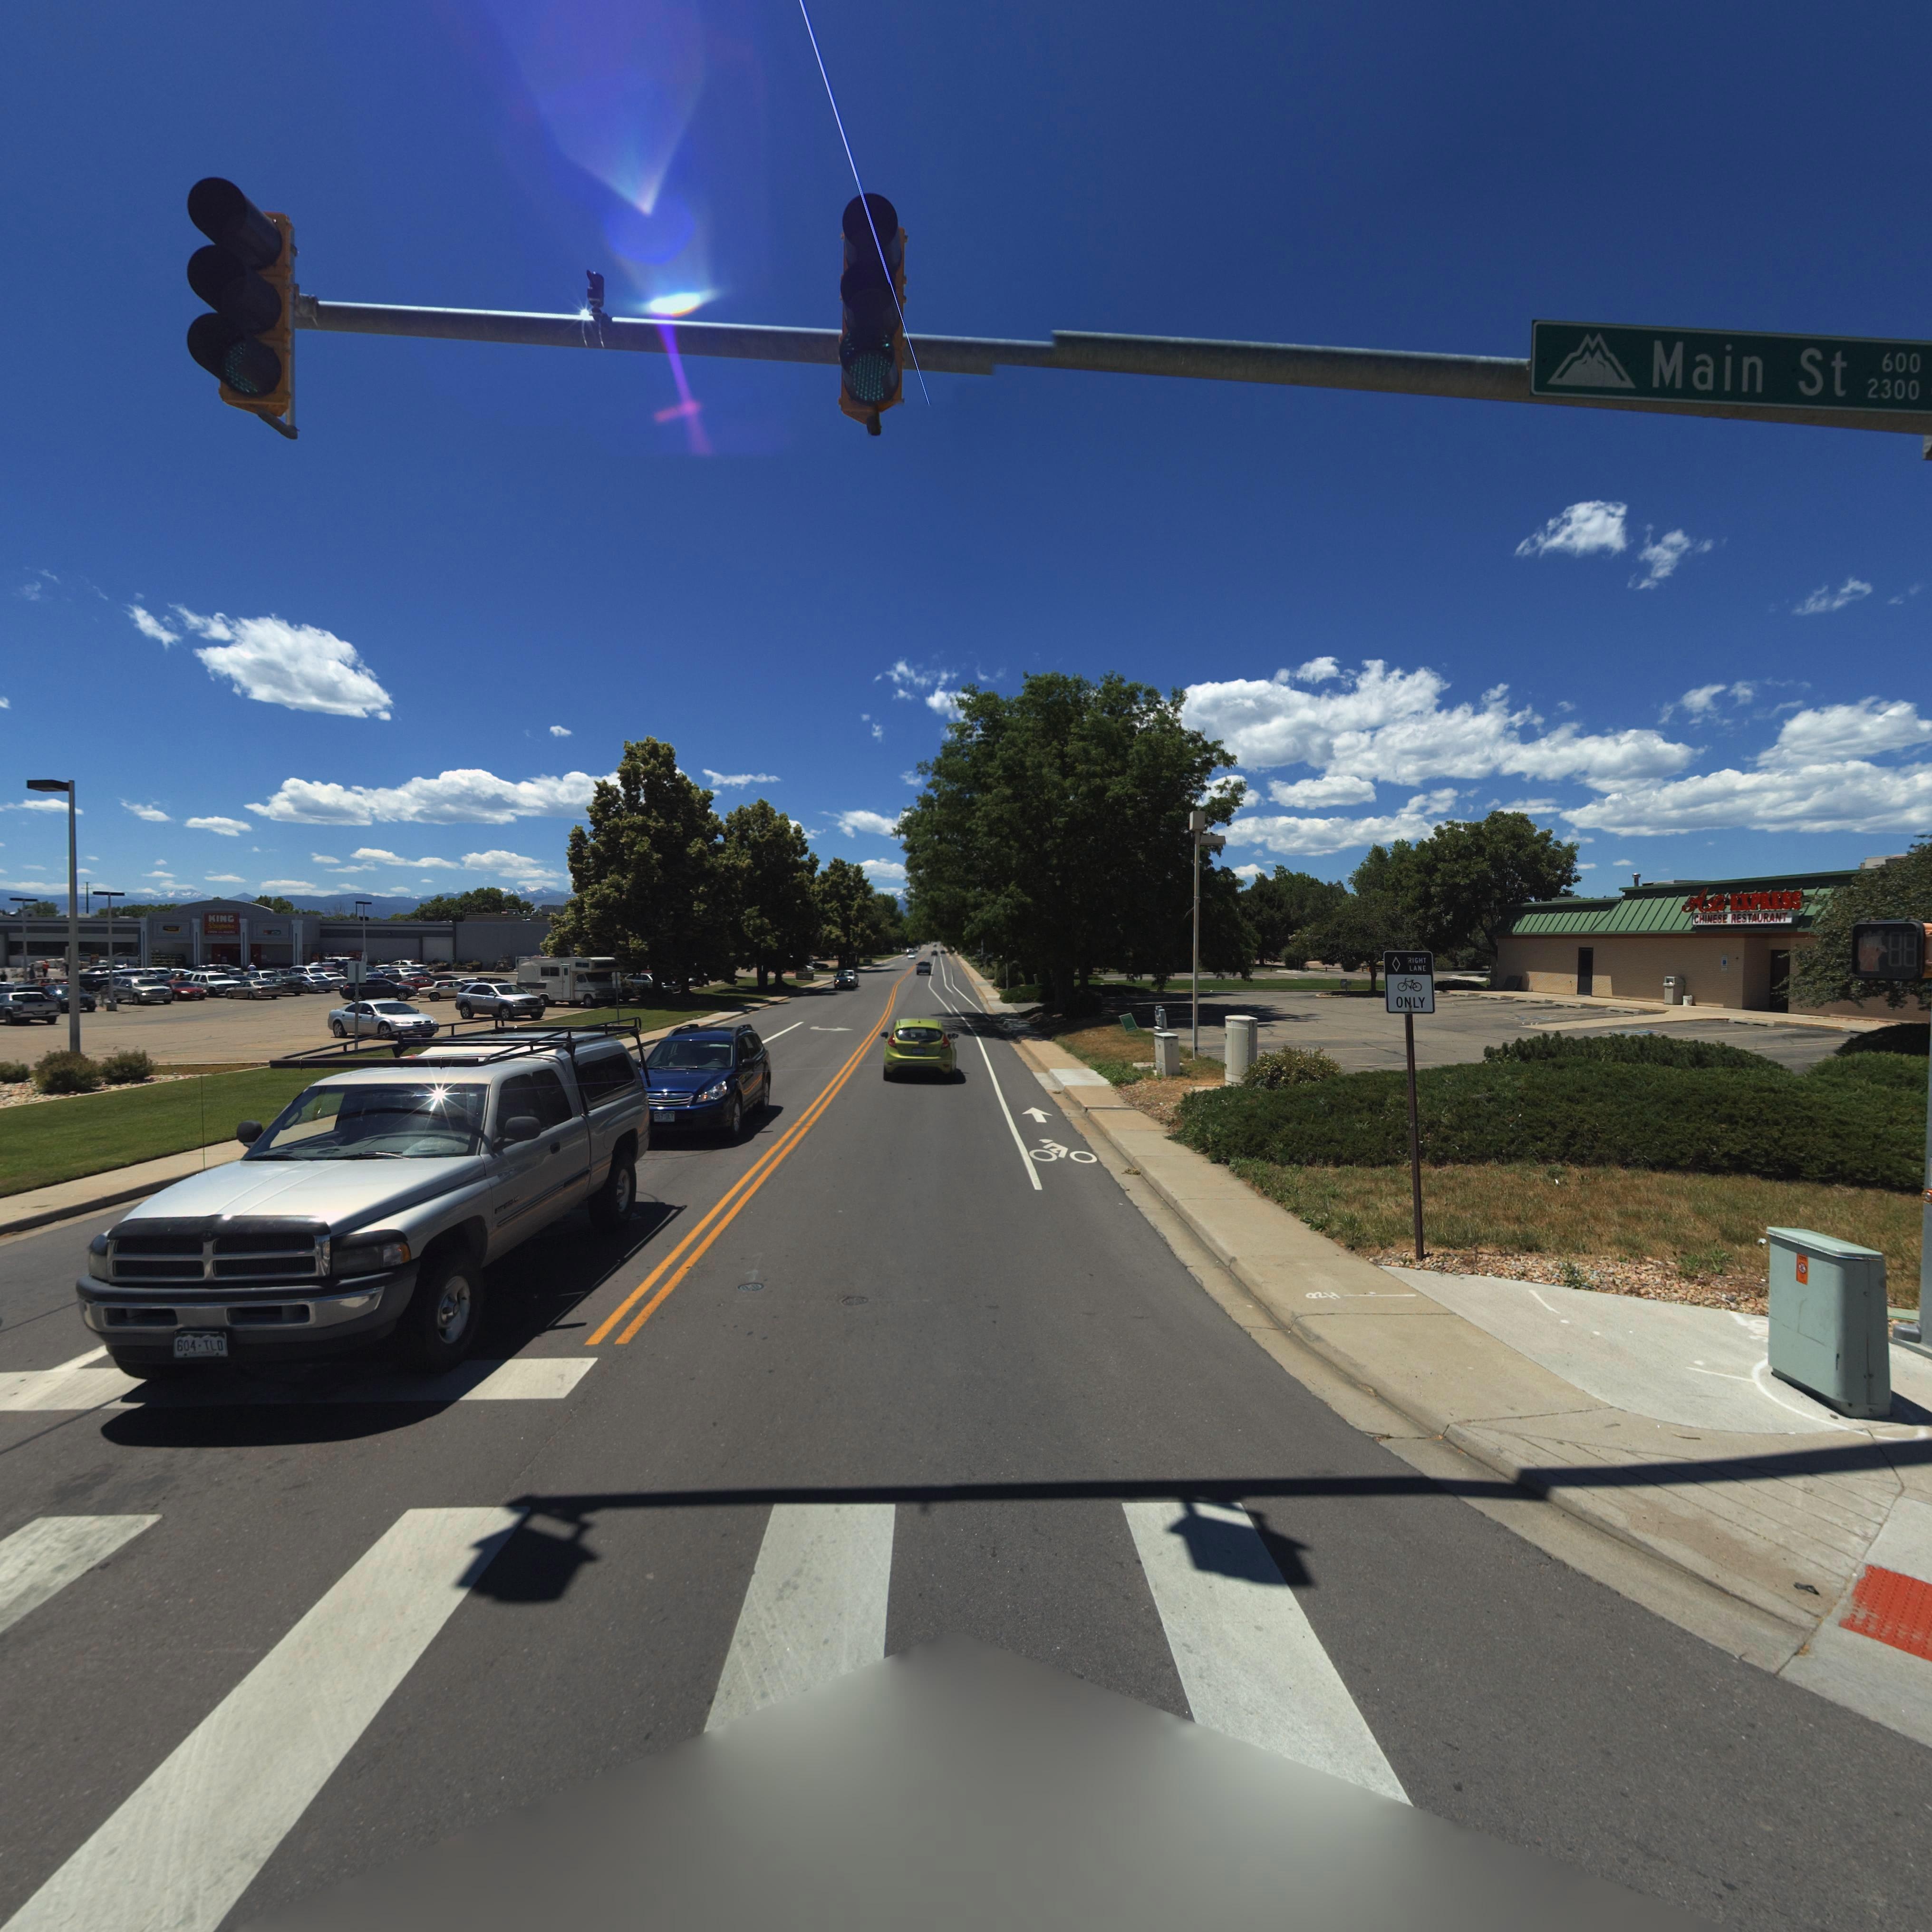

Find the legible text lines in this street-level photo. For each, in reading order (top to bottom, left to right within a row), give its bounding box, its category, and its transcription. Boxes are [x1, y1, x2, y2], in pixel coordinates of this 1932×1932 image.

[1650, 337, 1848, 398] StreetName: Main St
[1880, 352, 1921, 374] StreetNumberRange: 600
[1866, 377, 1919, 401] StreetNumberRange: 2300
[1681, 885, 1804, 913] BusinessName: A** EXPRESS
[208, 915, 234, 922] BusinessName: KING
[208, 922, 236, 930] BusinessName: Soo****
[1693, 911, 1788, 924] BusinessName: CHINESE RESTAURANT